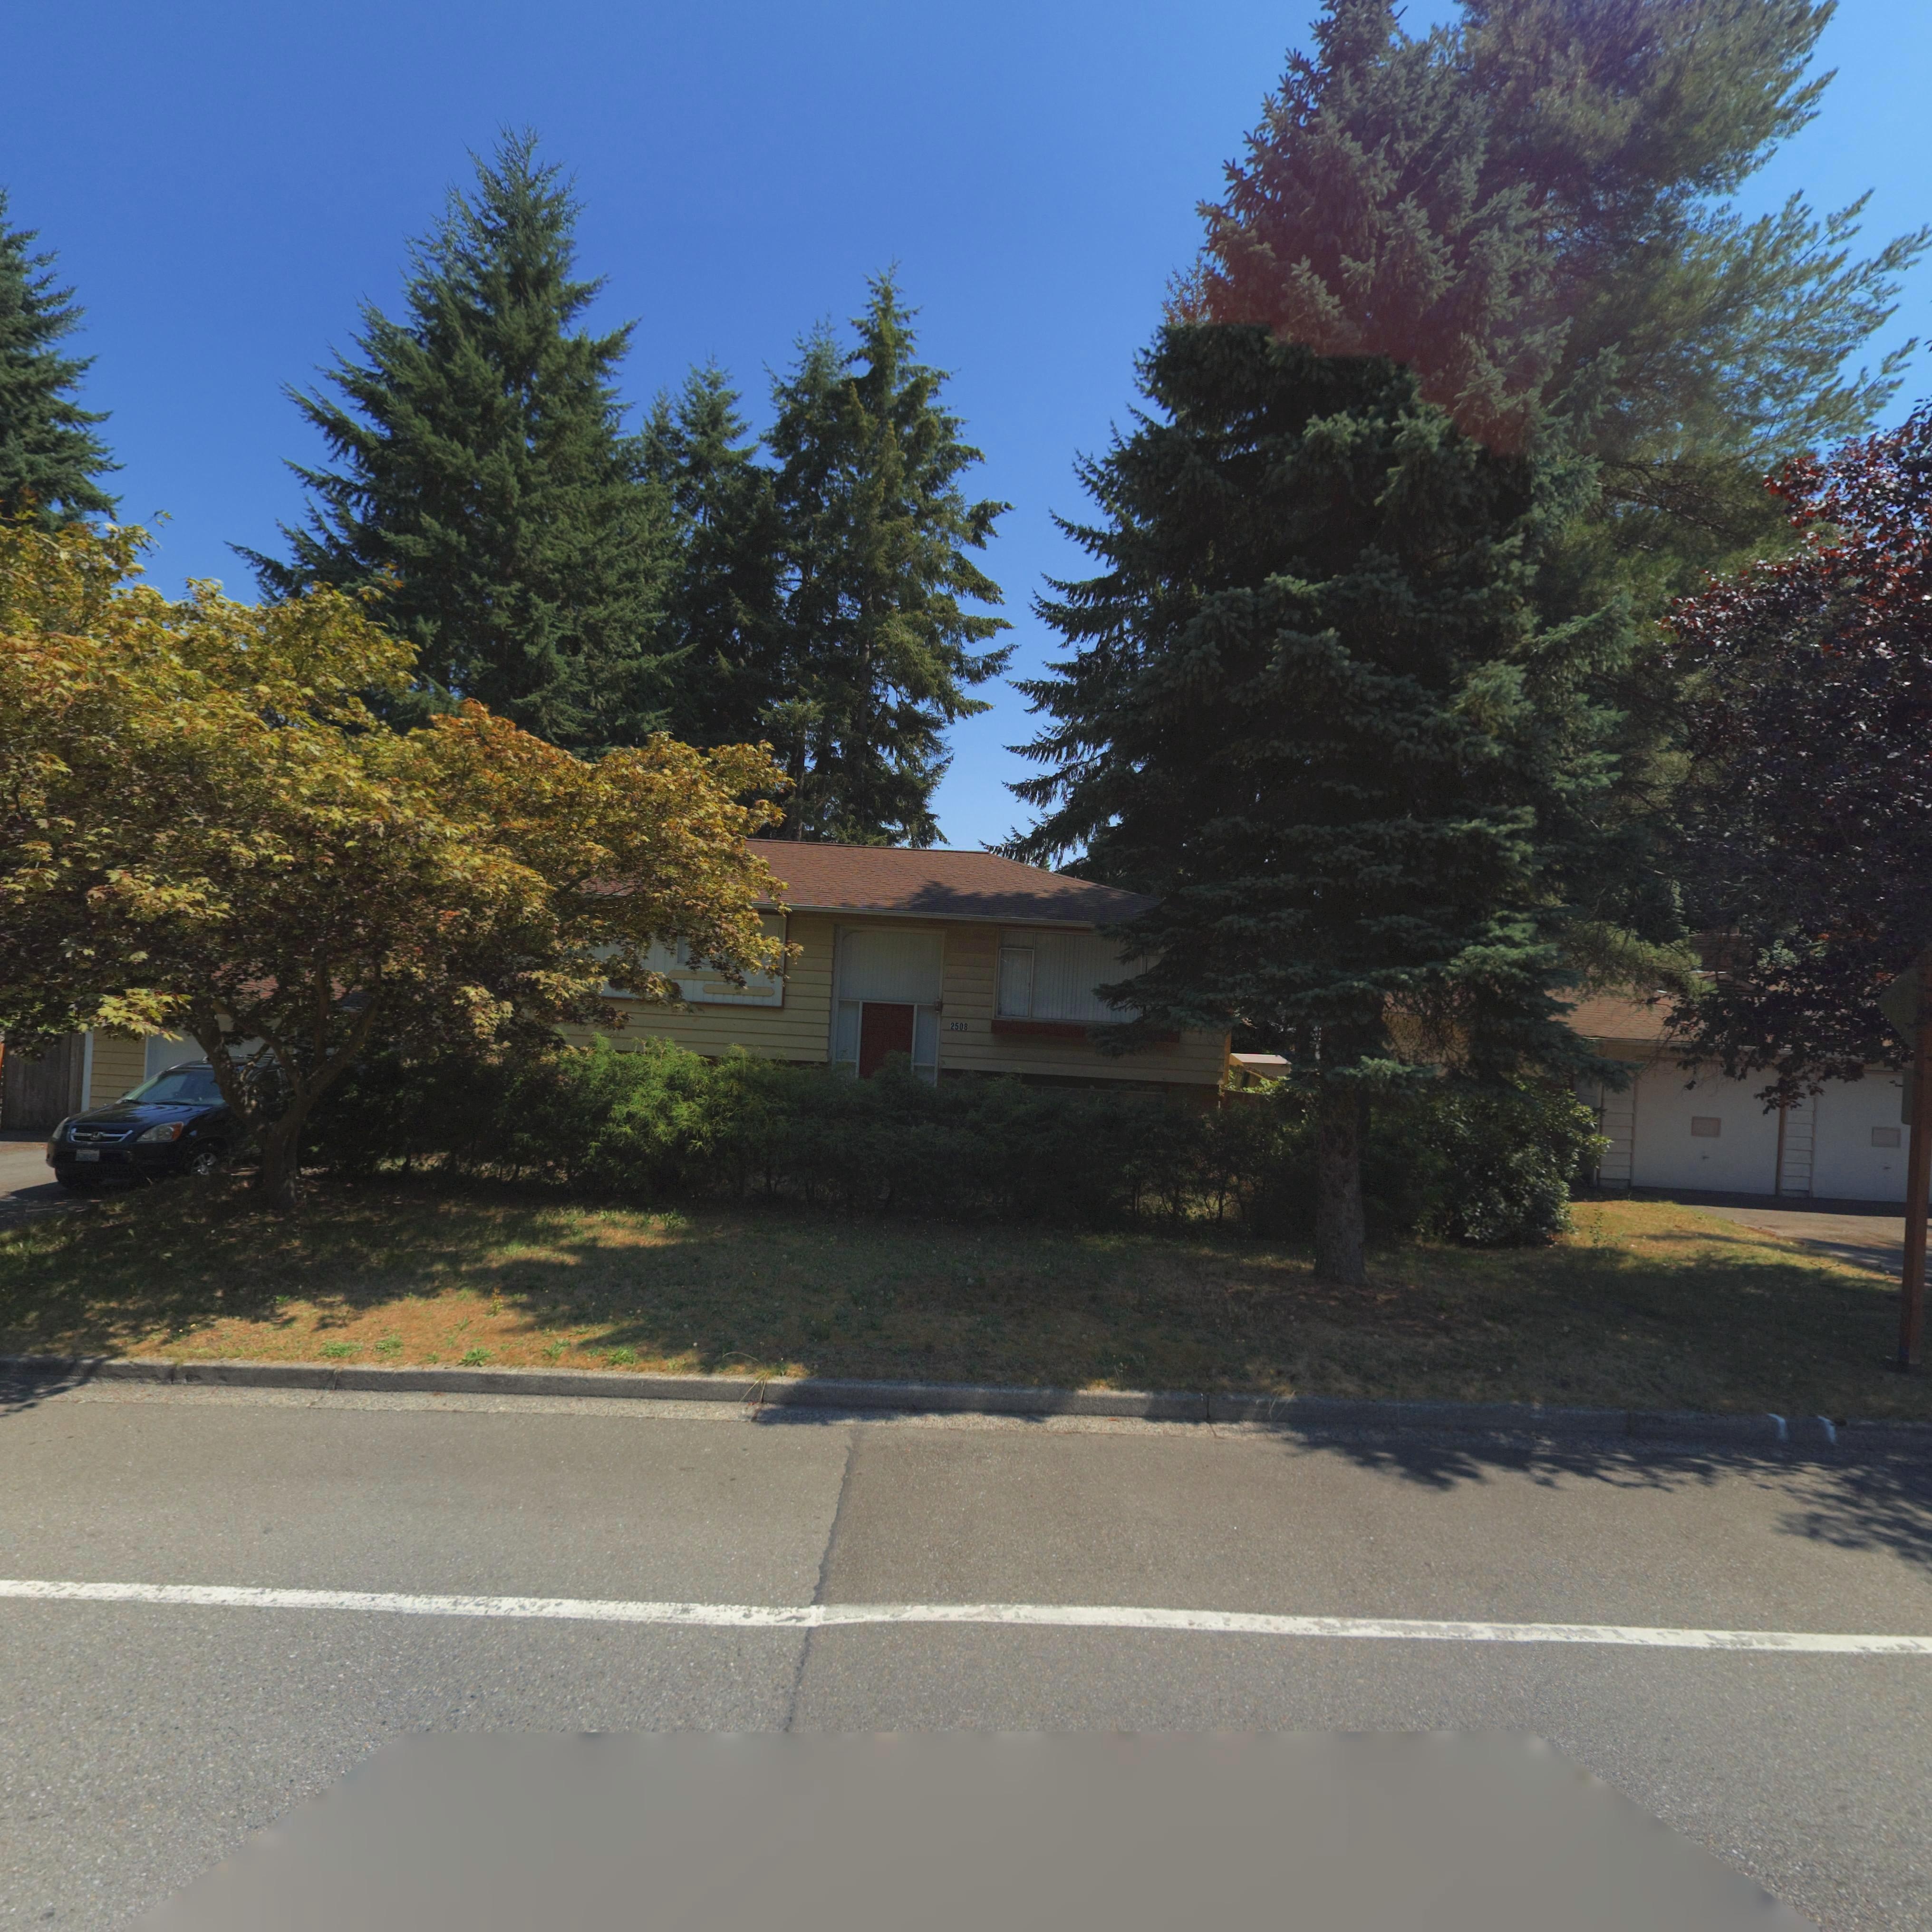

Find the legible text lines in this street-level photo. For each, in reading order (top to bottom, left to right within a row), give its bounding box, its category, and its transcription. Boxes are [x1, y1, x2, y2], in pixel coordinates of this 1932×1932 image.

[951, 1022, 967, 1031] StreetNumber: 2508